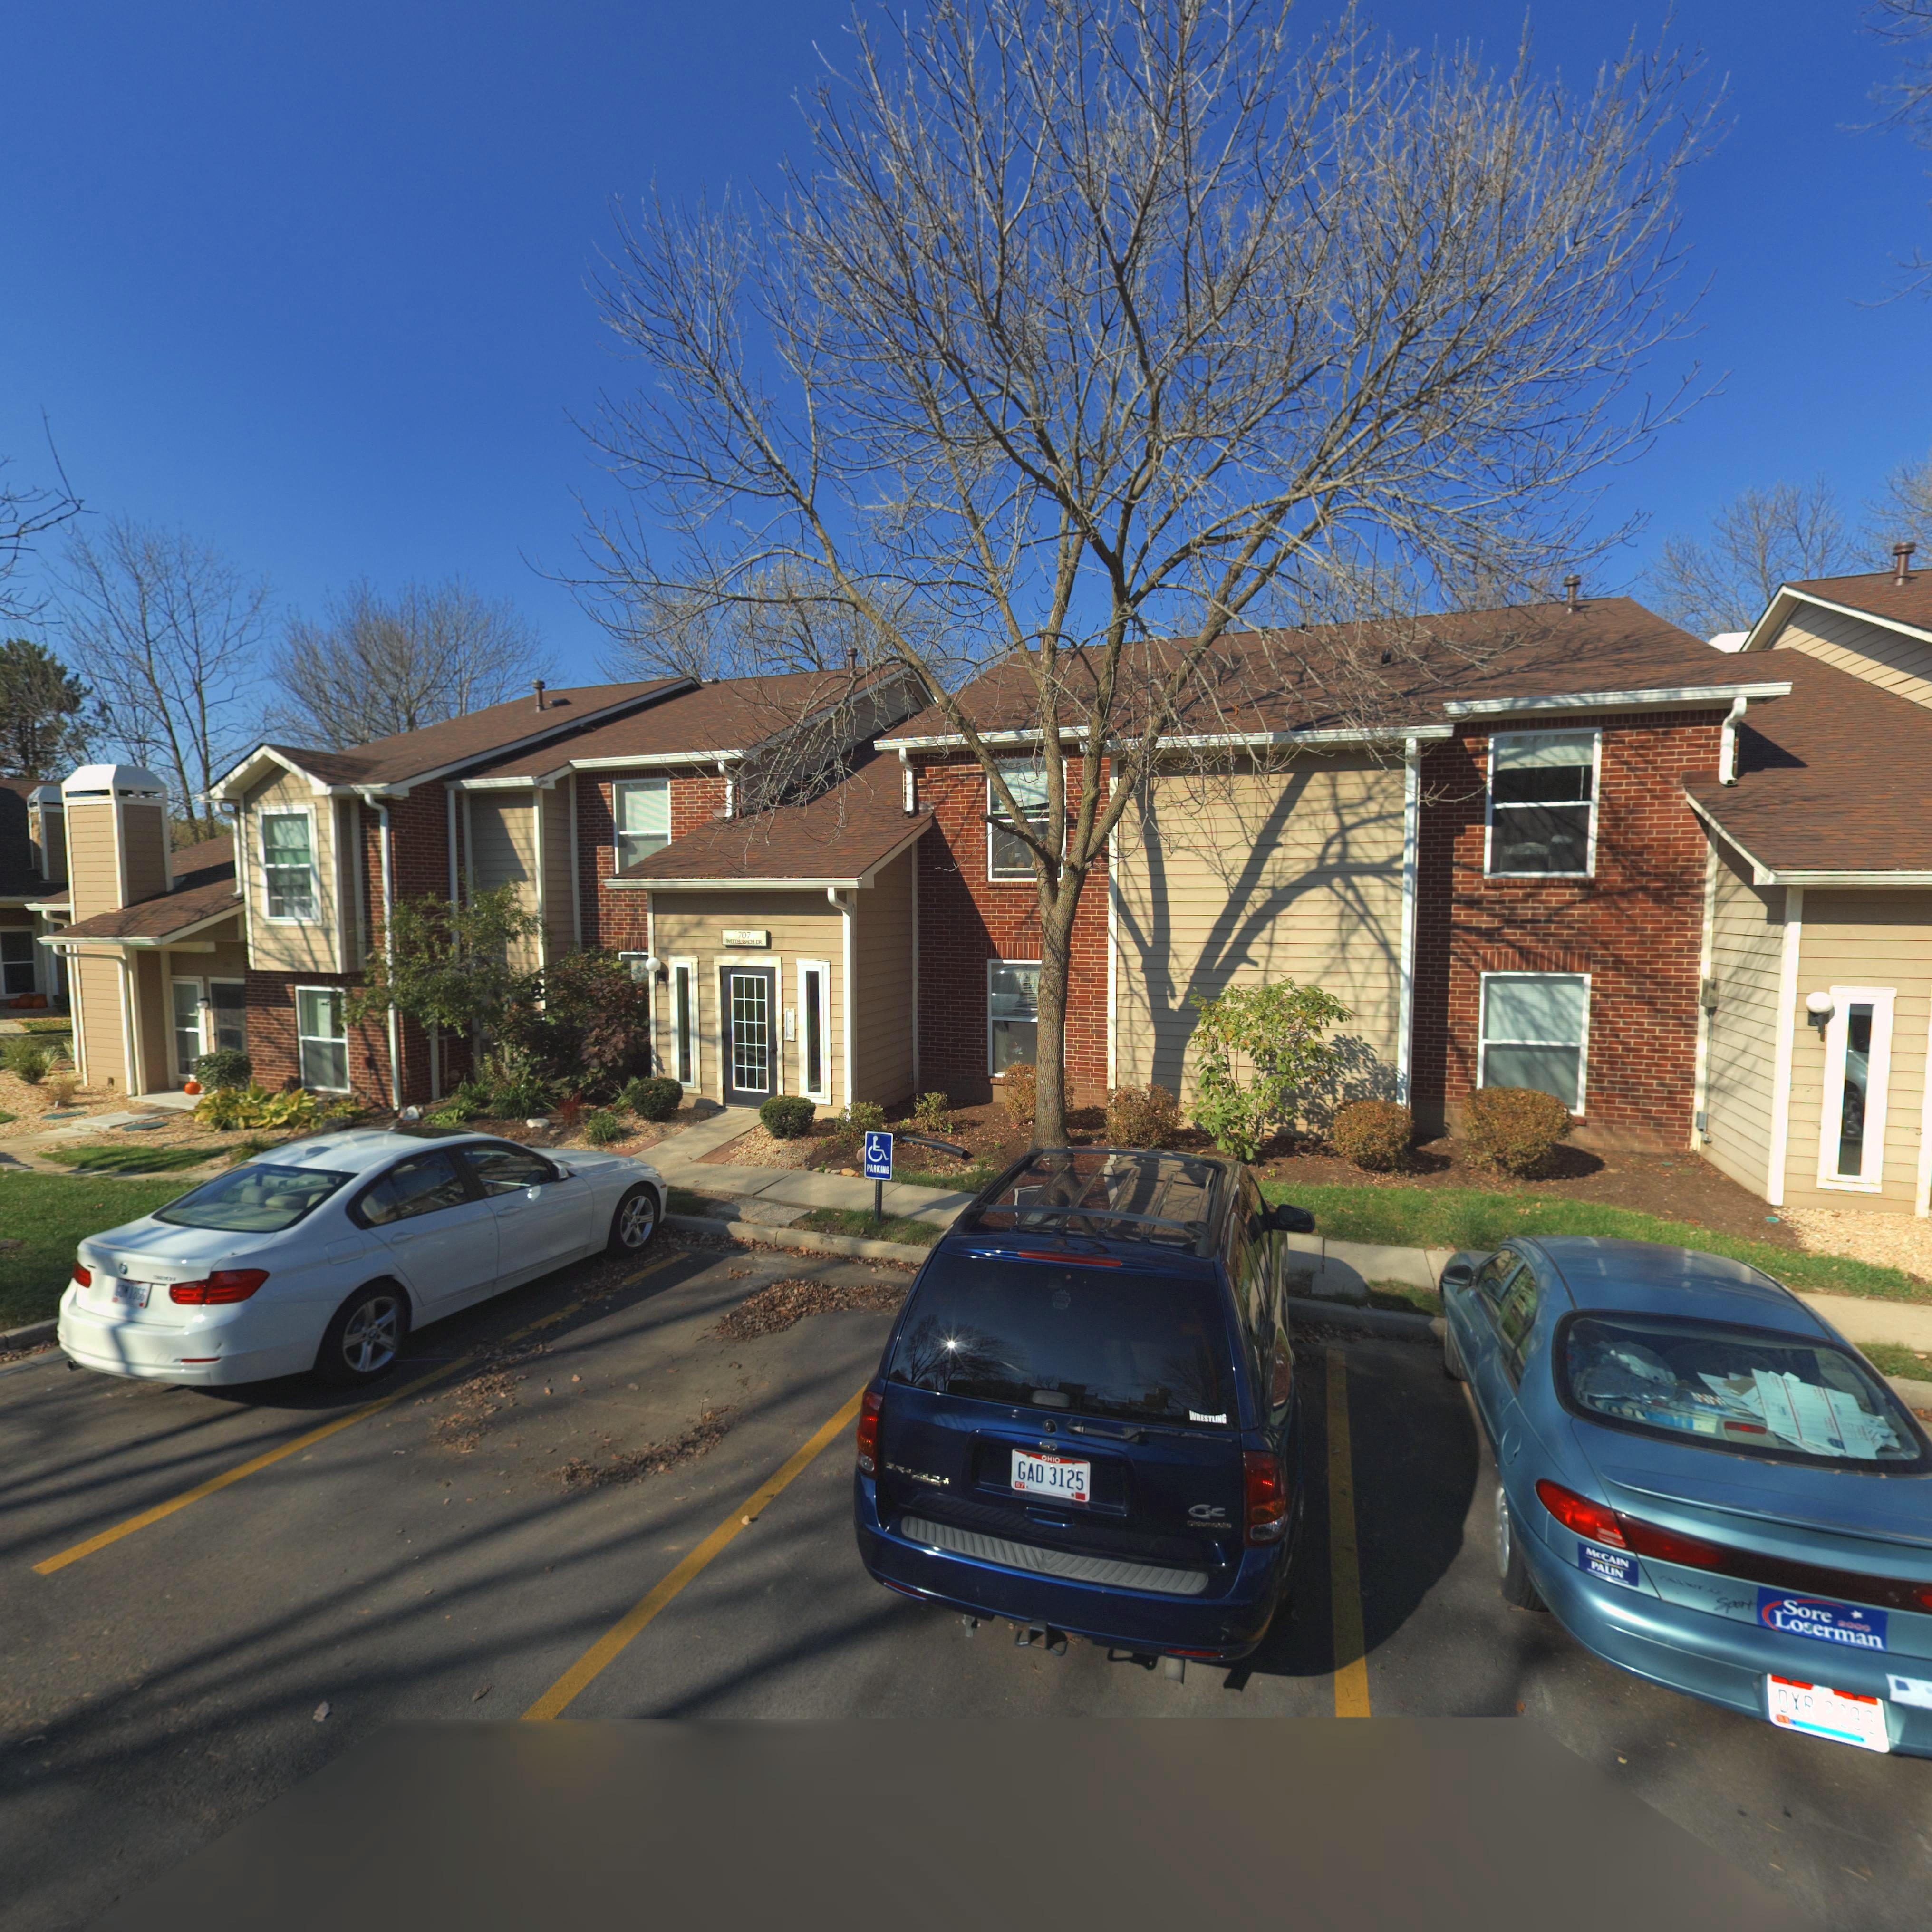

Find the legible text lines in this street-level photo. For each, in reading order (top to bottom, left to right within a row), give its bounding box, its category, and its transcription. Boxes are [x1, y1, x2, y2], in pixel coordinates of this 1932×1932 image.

[737, 930, 752, 940] StreetNumber: 707
[865, 1162, 891, 1176] None: PARKING
[1040, 1453, 1061, 1466] None: OHIO
[1017, 1458, 1085, 1493] None: GAD 3125
[1584, 1544, 1631, 1571] None: McCAIN
[1589, 1557, 1626, 1582] None: PALIN
[1781, 1597, 1835, 1625] None: Sore
[1772, 1607, 1886, 1652] None: Loserman